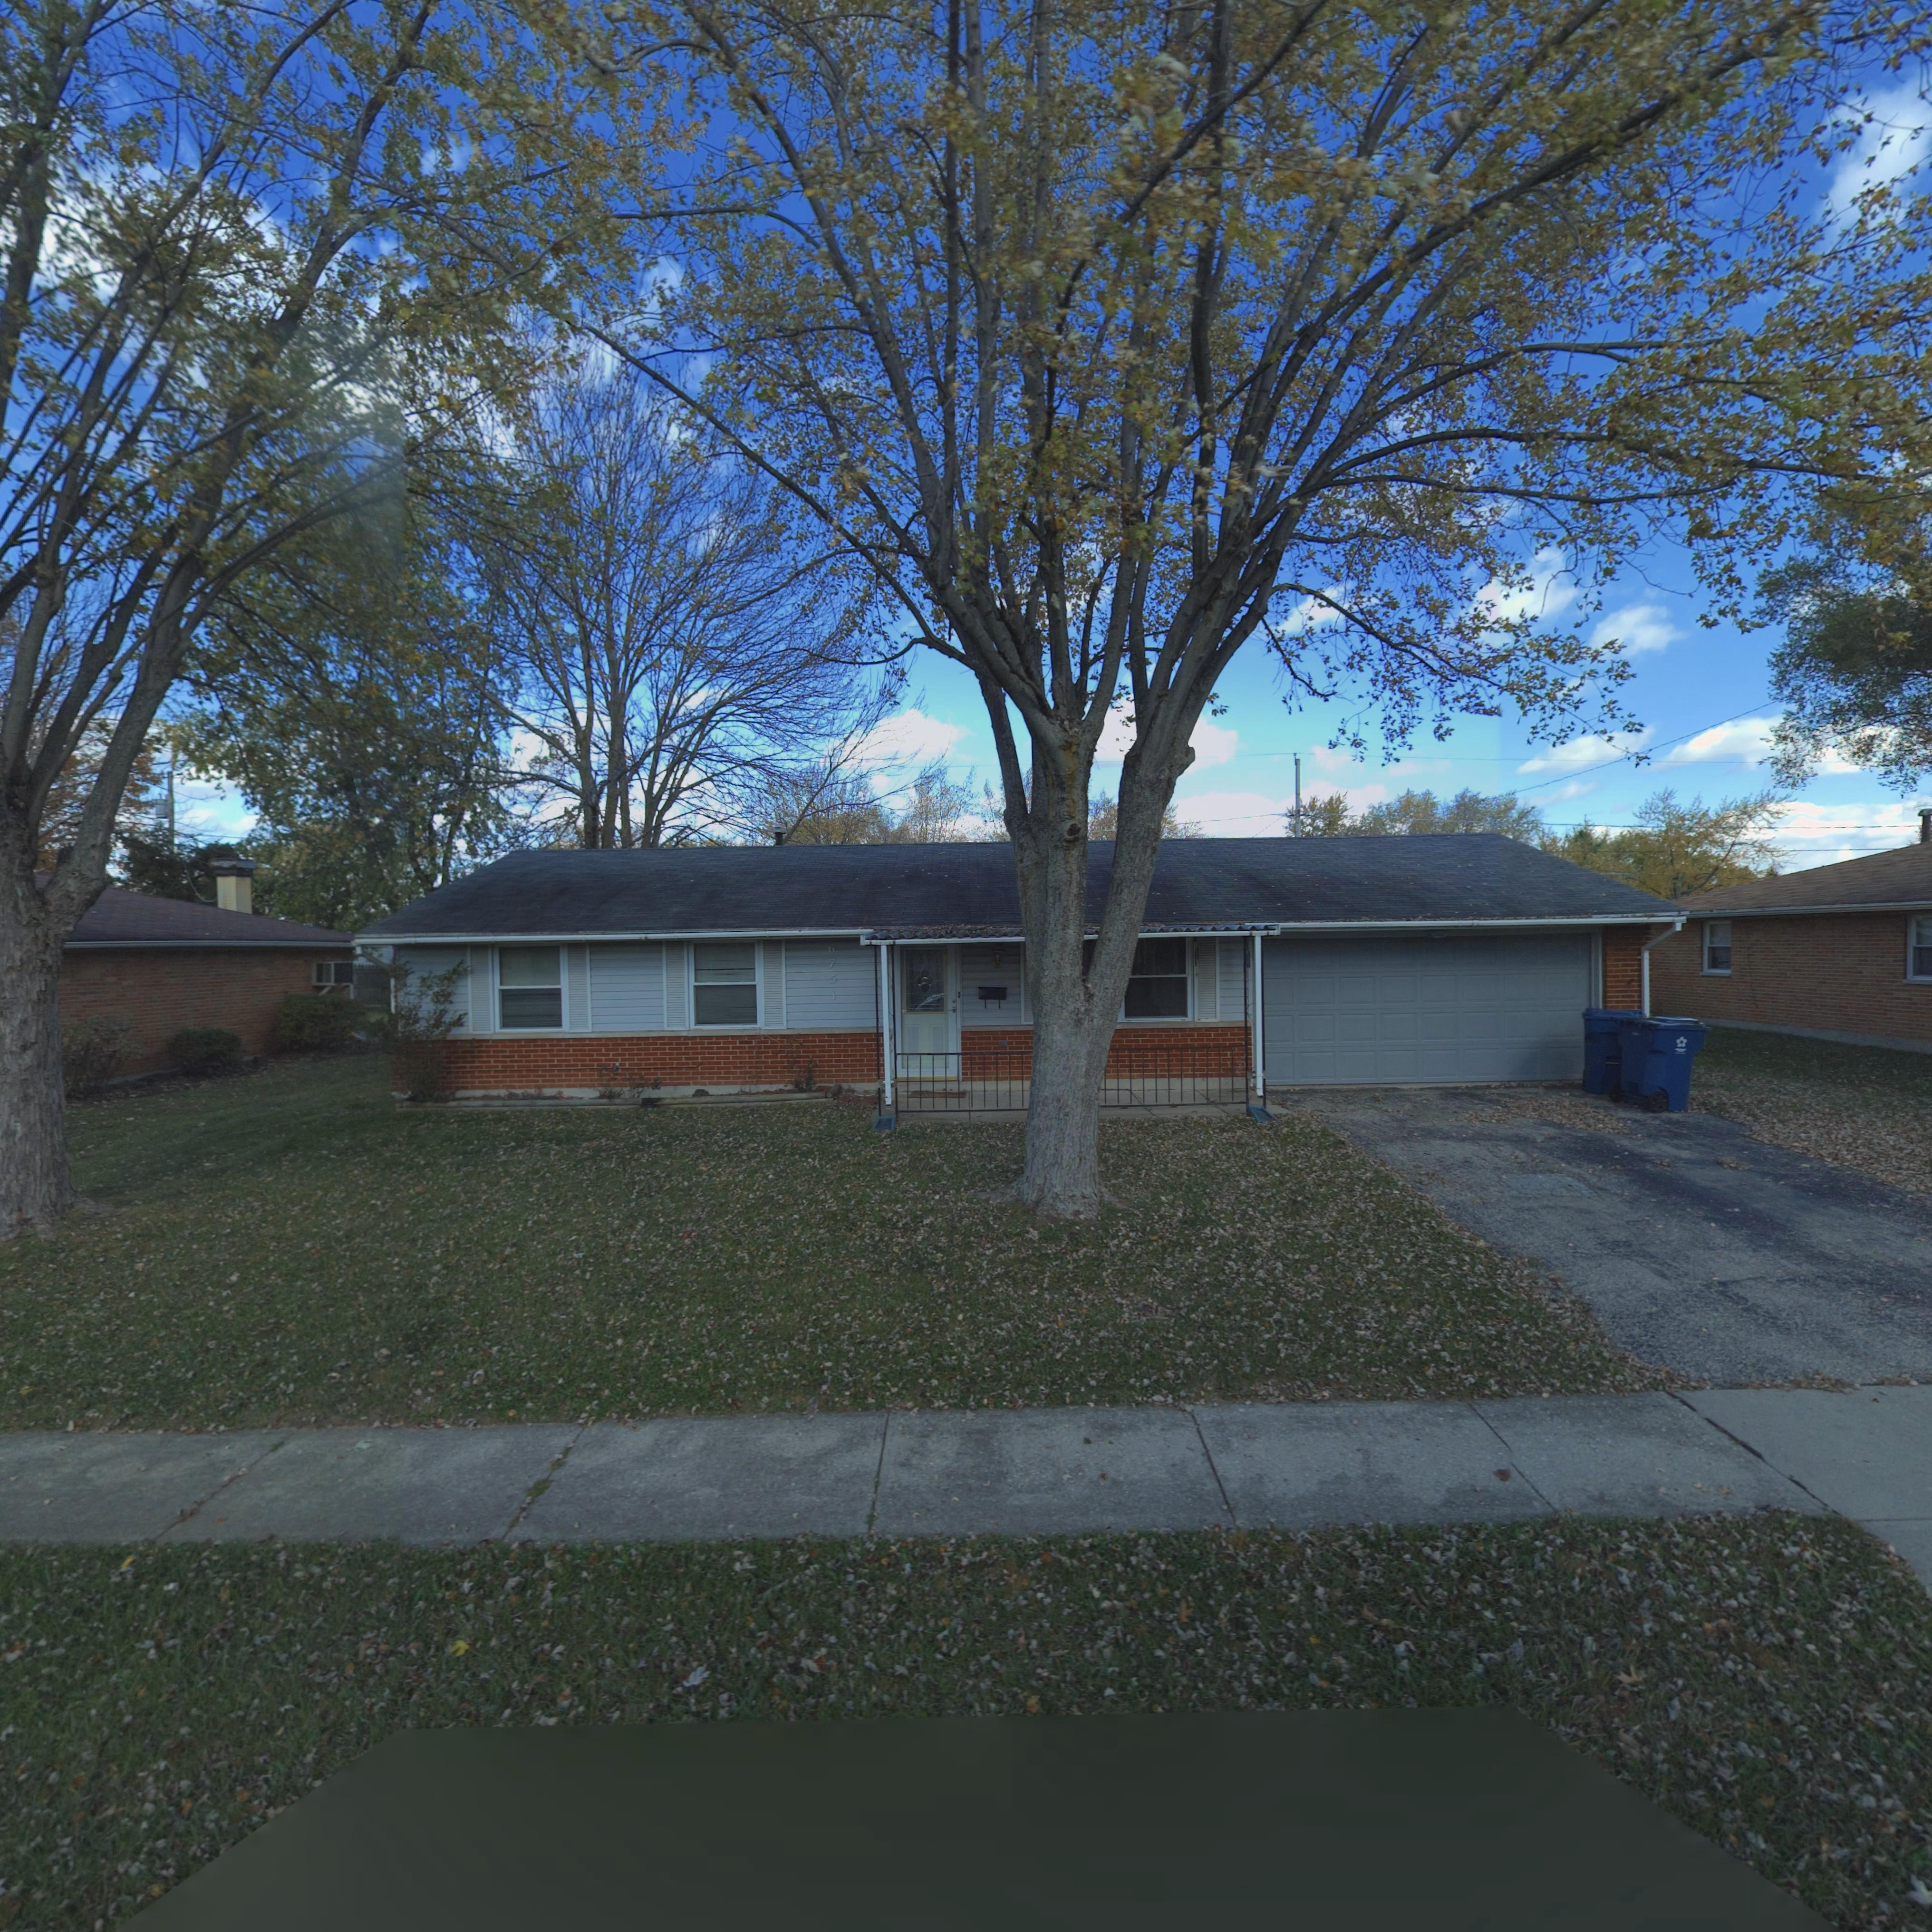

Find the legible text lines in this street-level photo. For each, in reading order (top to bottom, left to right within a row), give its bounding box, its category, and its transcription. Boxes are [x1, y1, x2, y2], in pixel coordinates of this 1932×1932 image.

[827, 942, 837, 1001] StreetNumber: 6751